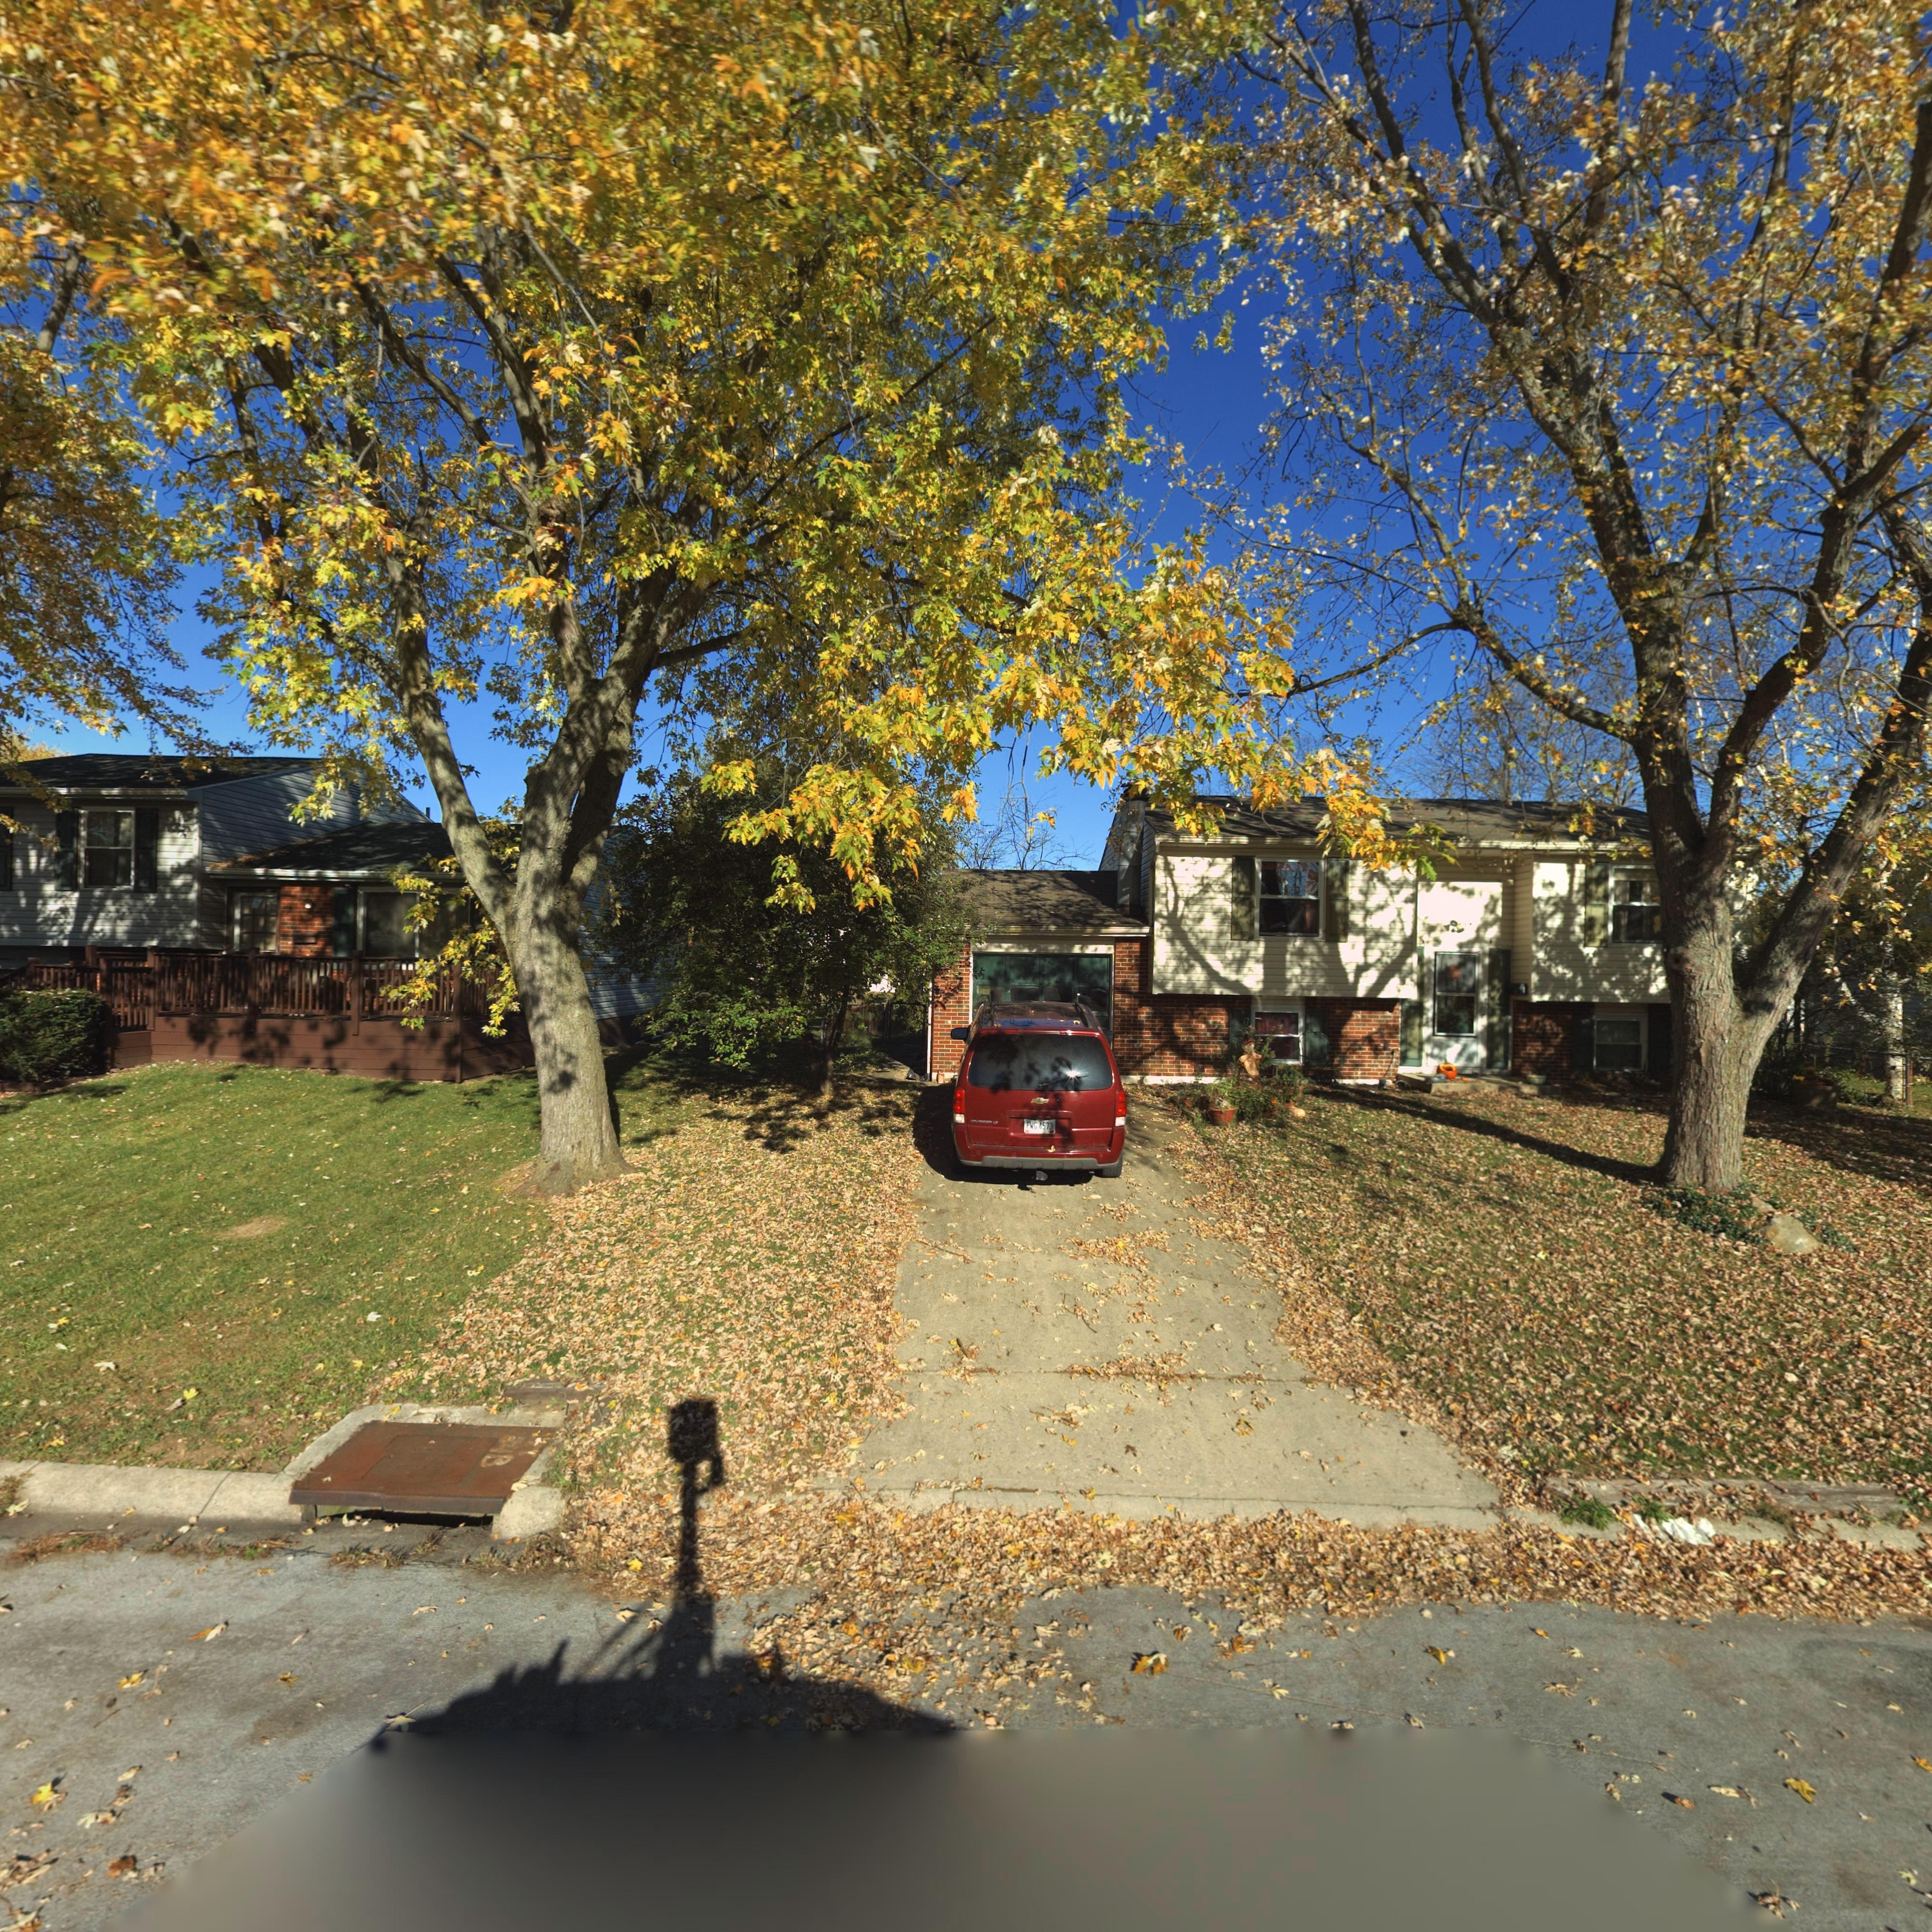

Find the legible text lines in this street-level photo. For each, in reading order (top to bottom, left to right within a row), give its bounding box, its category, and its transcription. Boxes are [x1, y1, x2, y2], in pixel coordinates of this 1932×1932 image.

[1670, 1517, 1716, 1546] StreetNumber: 04